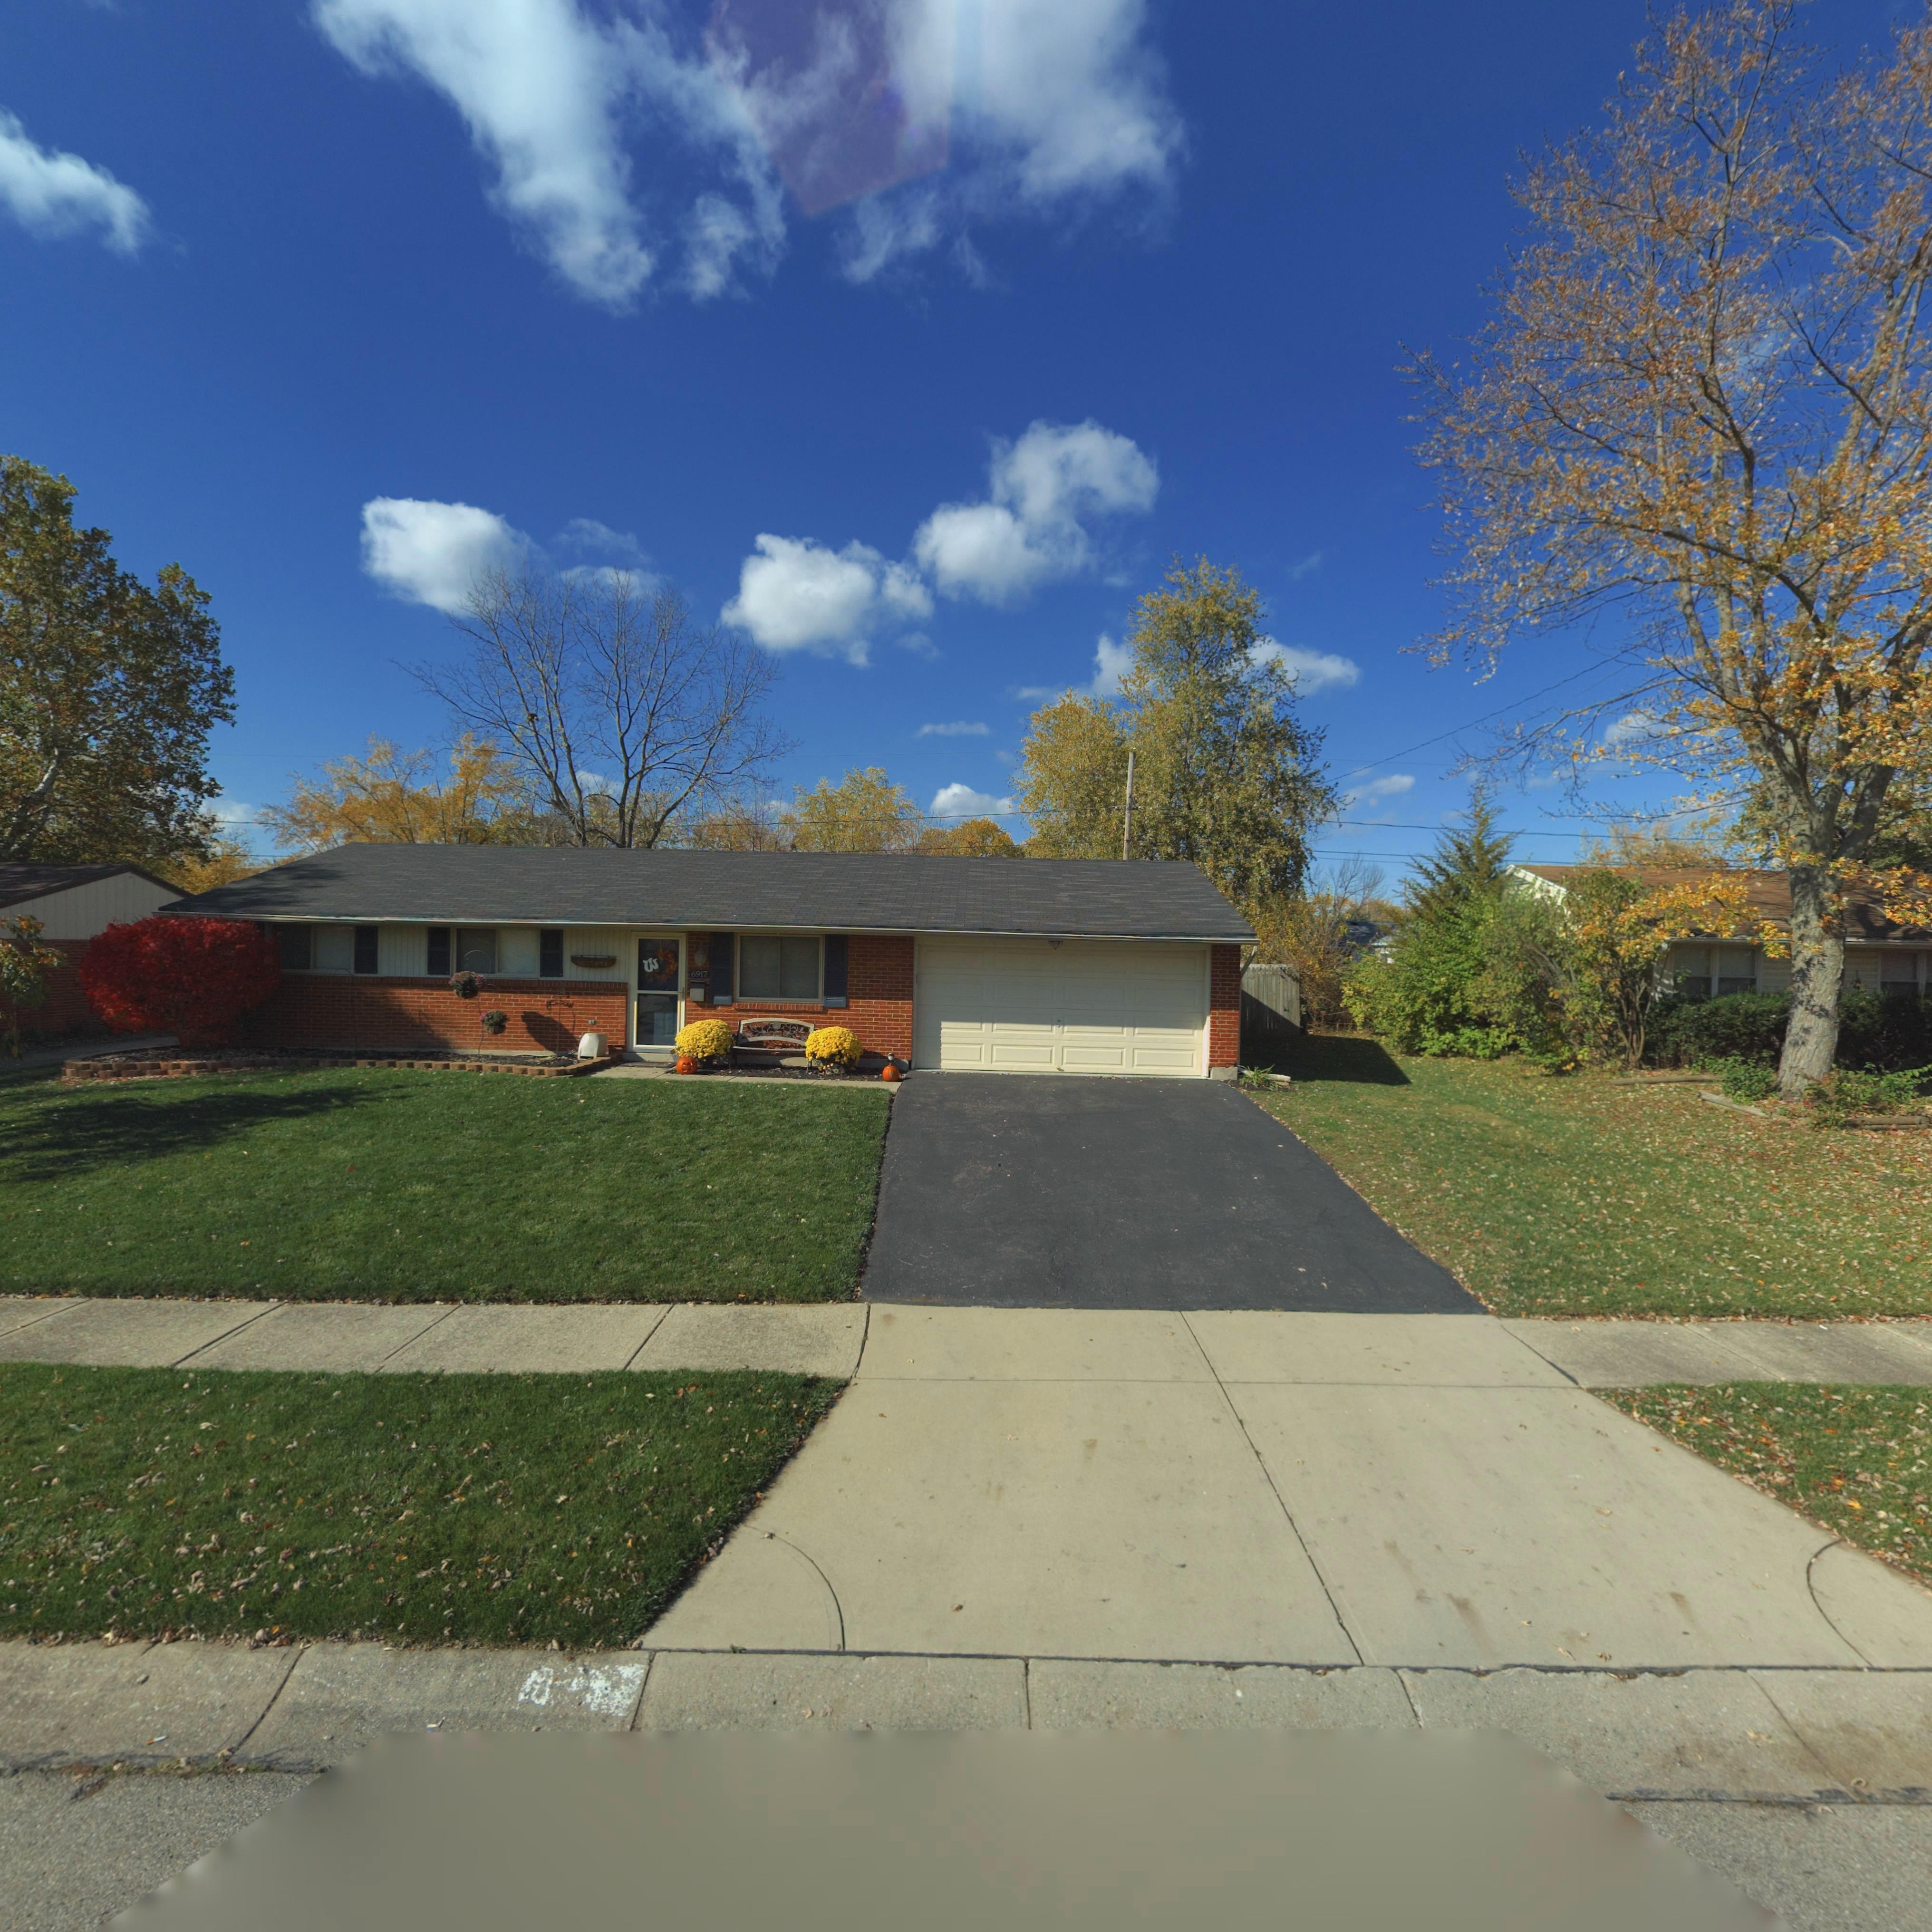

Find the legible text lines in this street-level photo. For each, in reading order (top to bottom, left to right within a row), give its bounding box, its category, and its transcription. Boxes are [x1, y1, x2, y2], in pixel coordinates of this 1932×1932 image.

[690, 969, 709, 978] StreetNumber: 6917